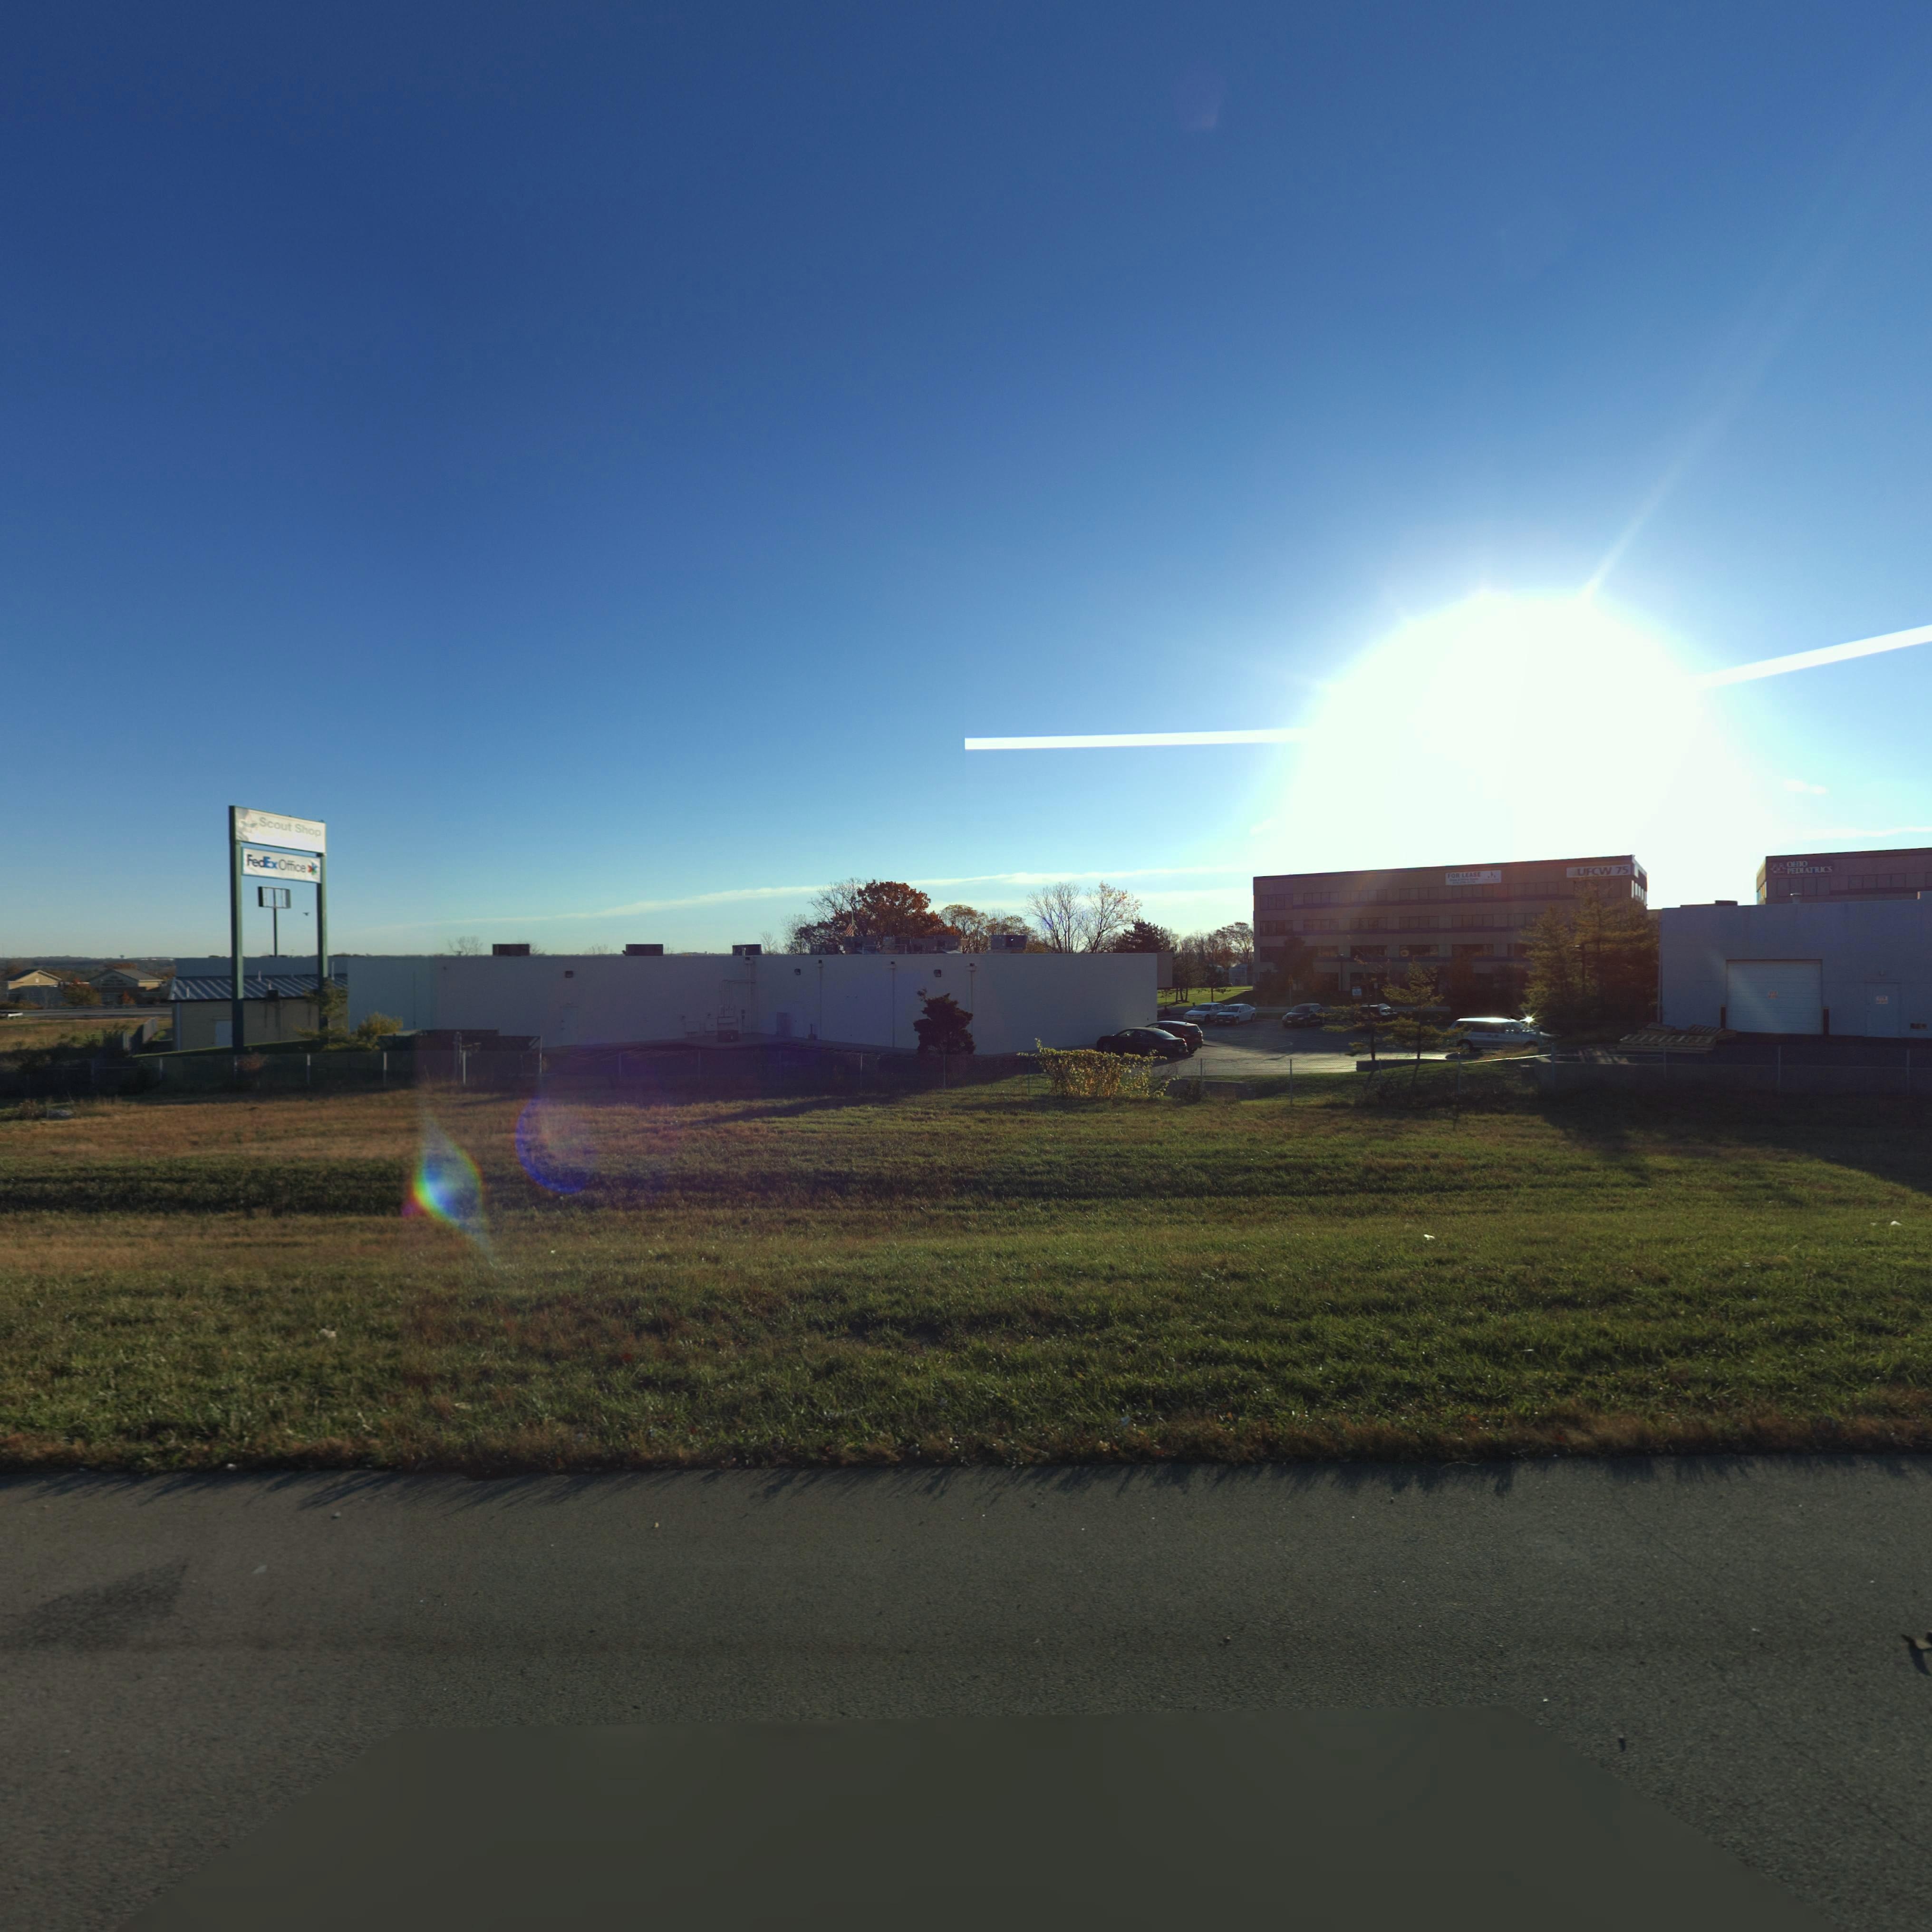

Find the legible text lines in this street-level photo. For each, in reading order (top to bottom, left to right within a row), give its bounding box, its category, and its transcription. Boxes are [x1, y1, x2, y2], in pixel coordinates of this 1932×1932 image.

[257, 815, 322, 841] None: Scout Shop
[245, 852, 307, 875] None: FedExOffice
[1602, 900, 1608, 908] StreetNumber: 0